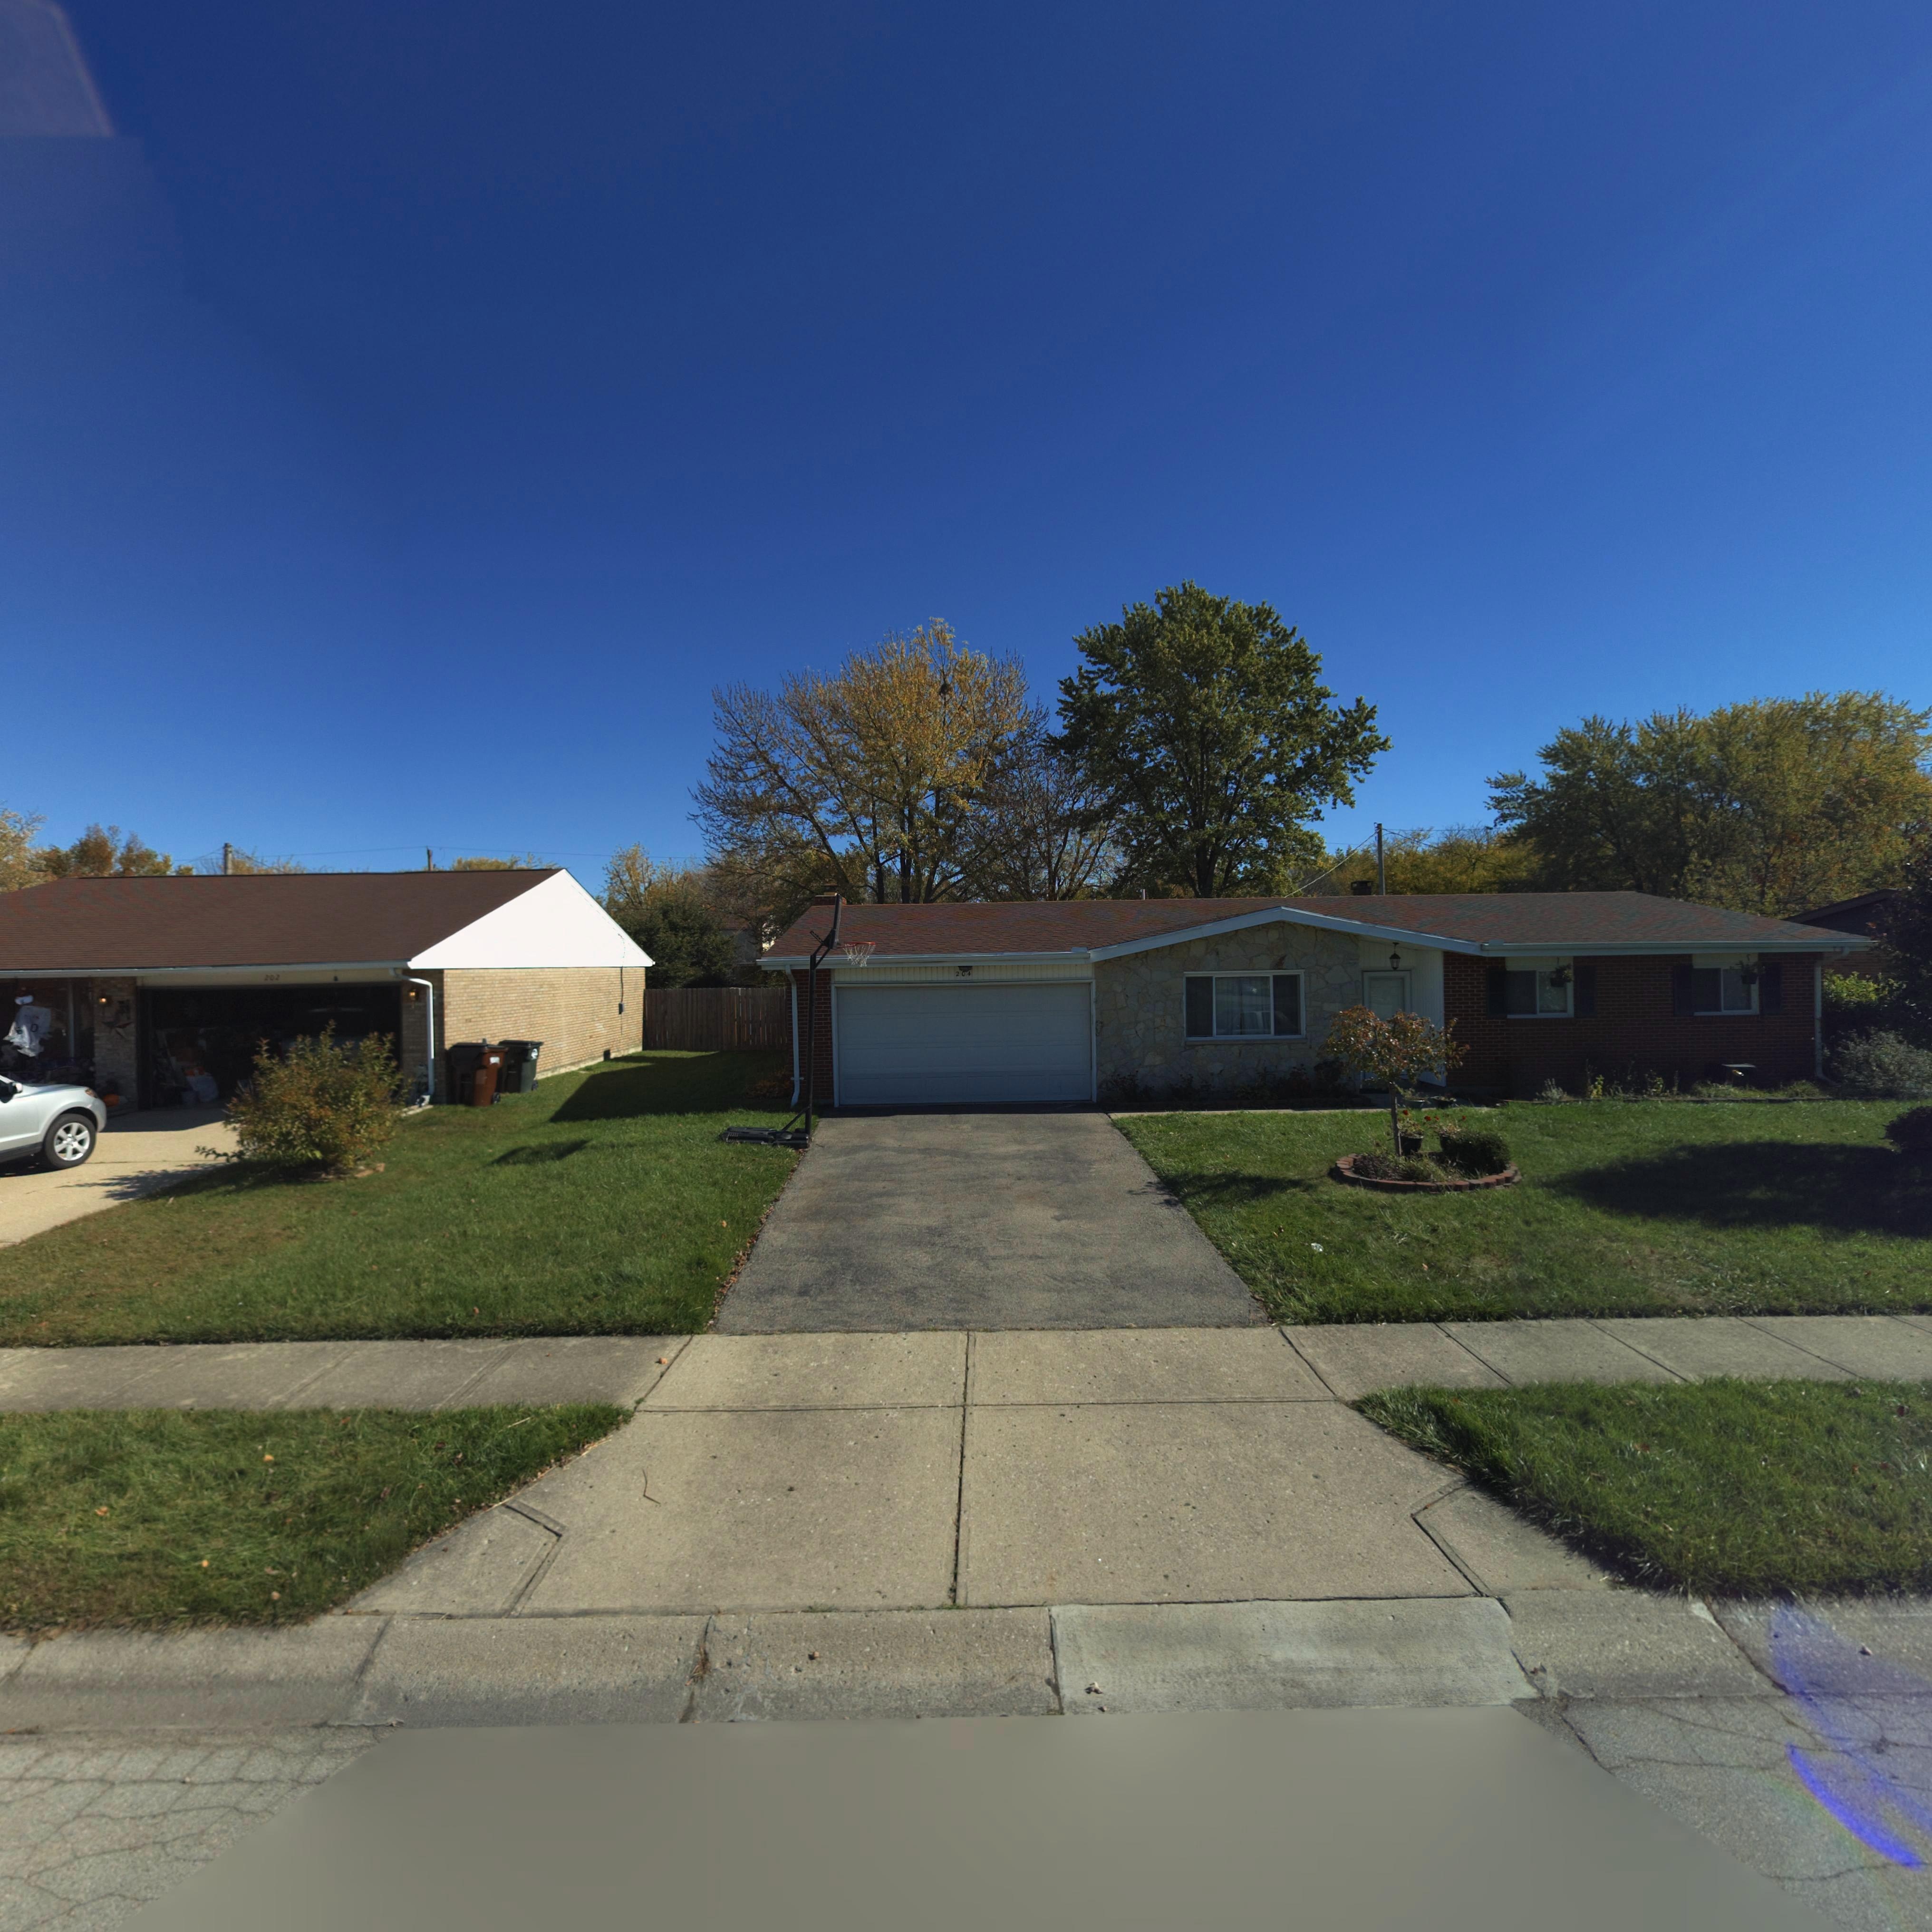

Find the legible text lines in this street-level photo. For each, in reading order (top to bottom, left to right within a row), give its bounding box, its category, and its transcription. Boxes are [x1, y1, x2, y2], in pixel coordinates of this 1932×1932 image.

[264, 974, 280, 981] StreetNumber: 202
[955, 971, 971, 977] StreetNumber: 204